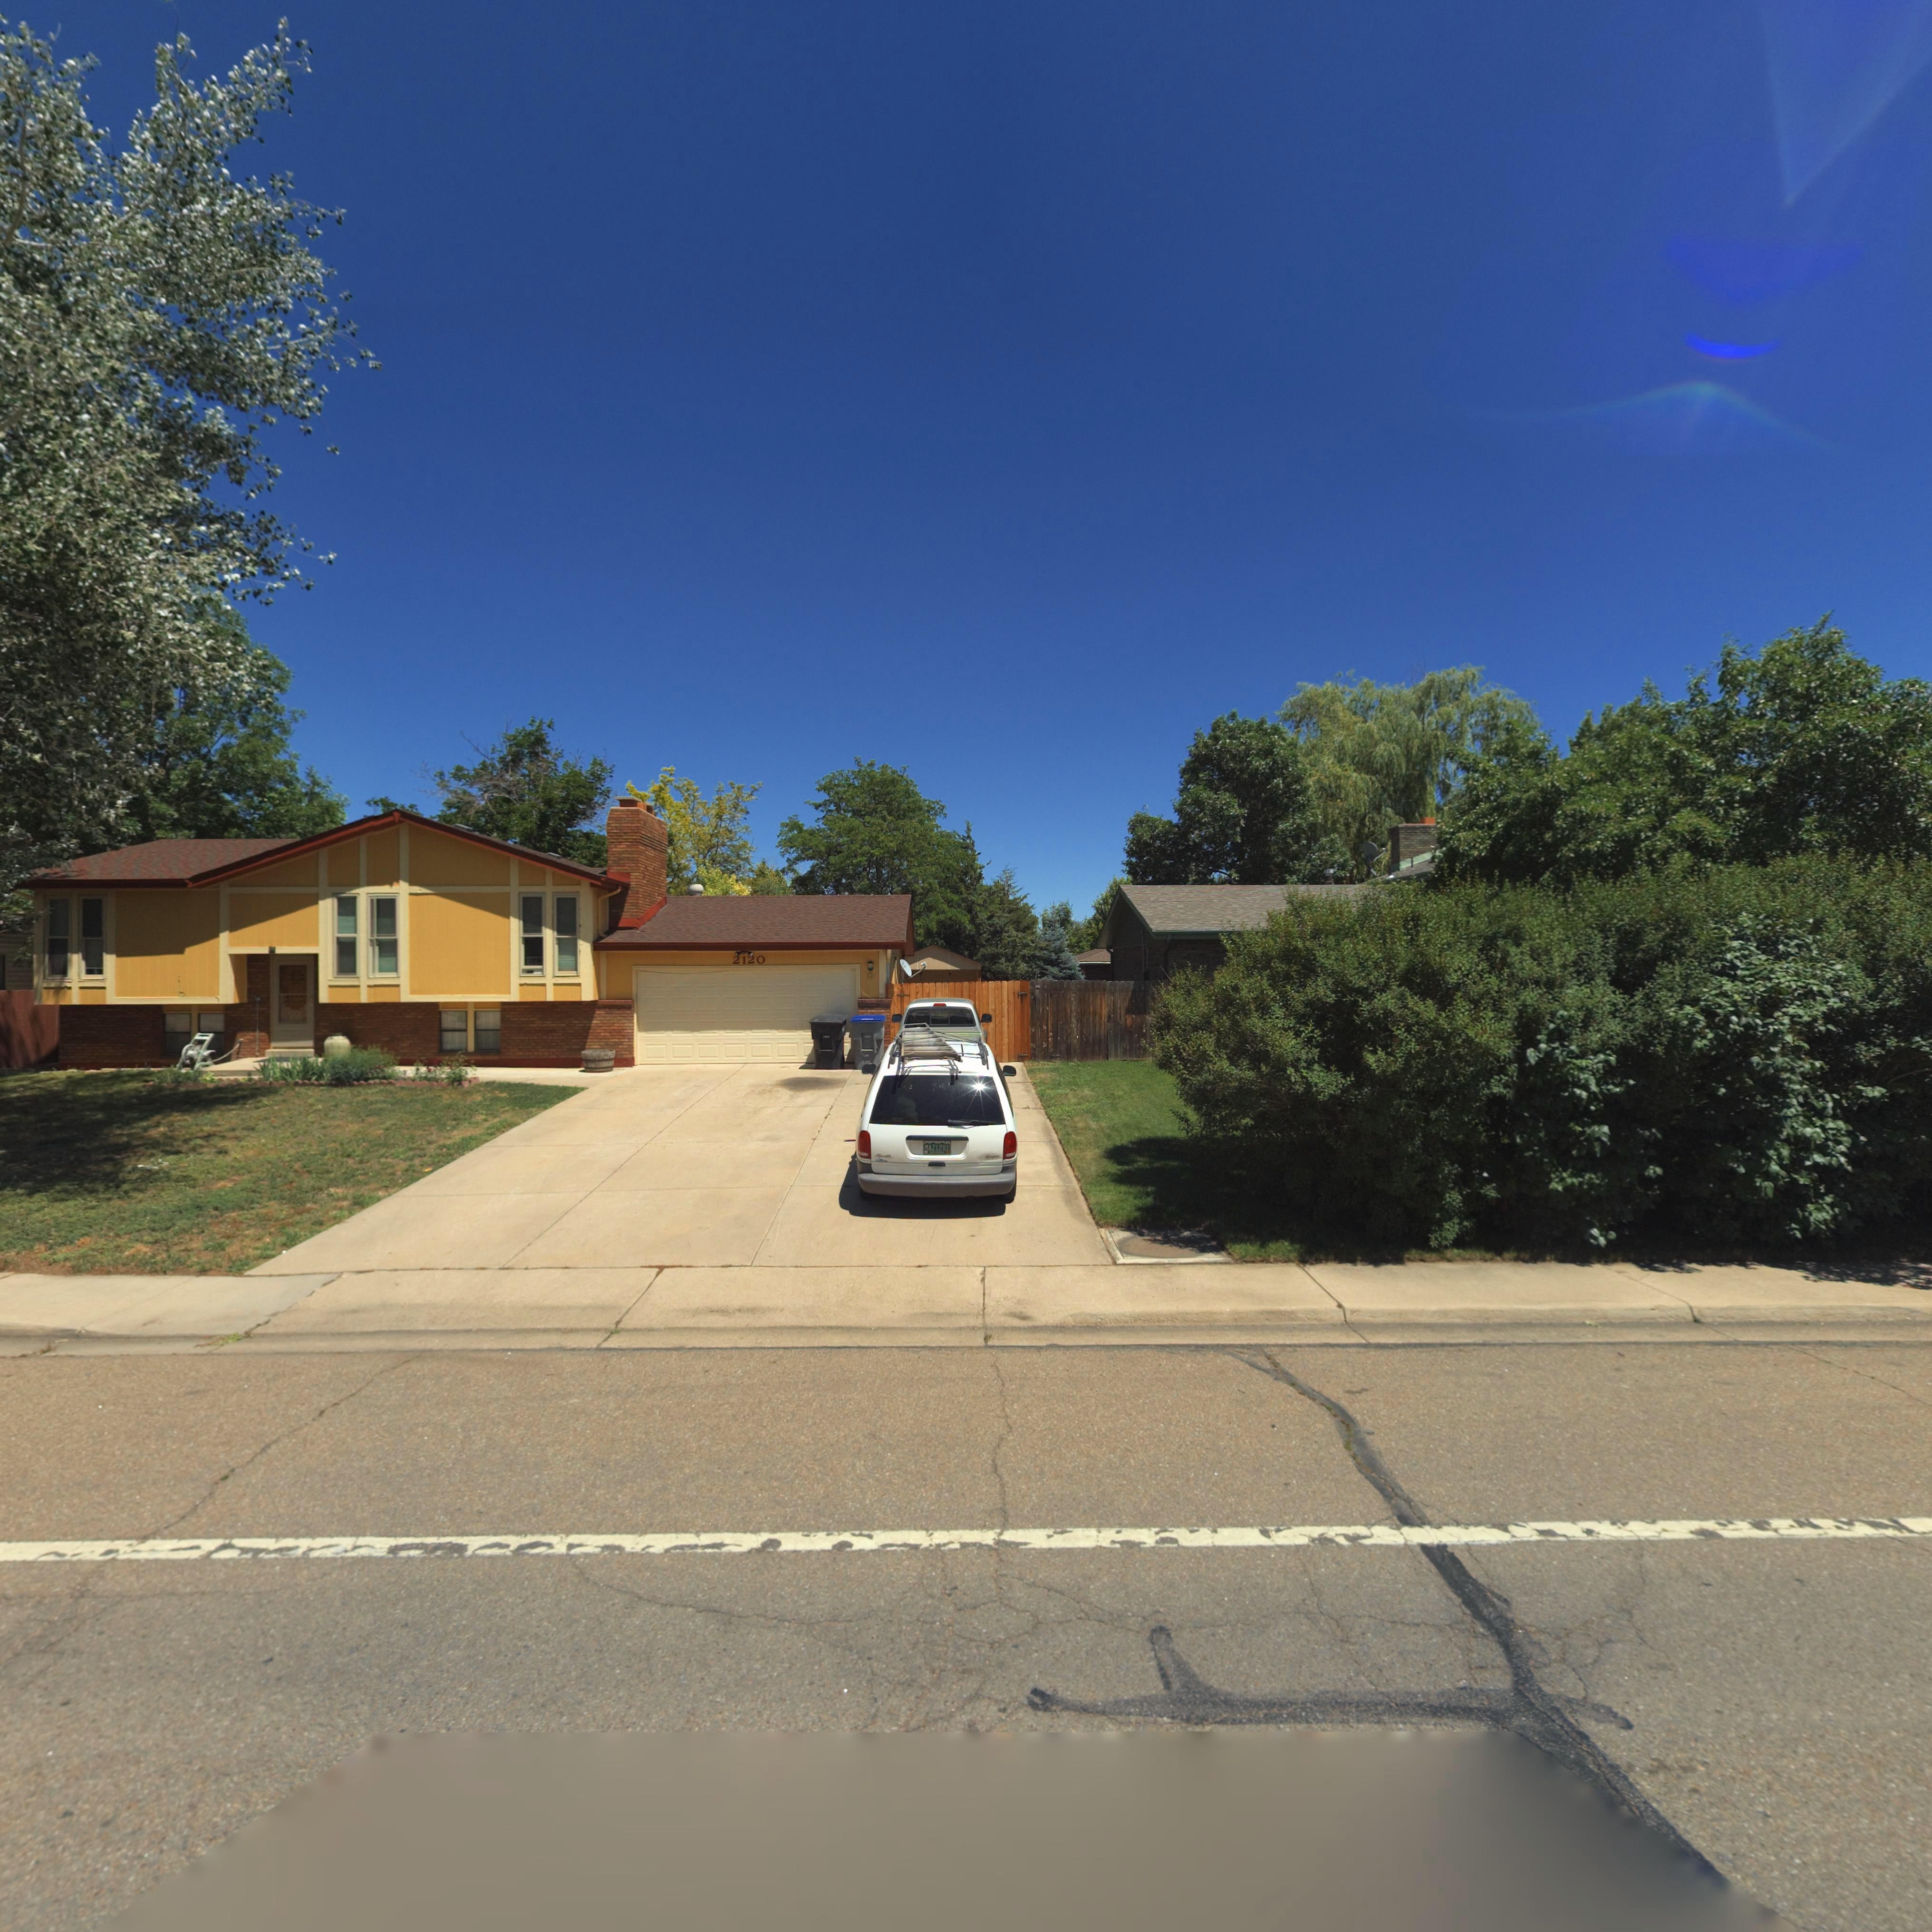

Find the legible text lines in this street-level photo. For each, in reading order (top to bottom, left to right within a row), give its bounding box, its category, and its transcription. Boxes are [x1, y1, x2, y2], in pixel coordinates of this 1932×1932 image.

[732, 955, 765, 964] StreetNumber: 2120